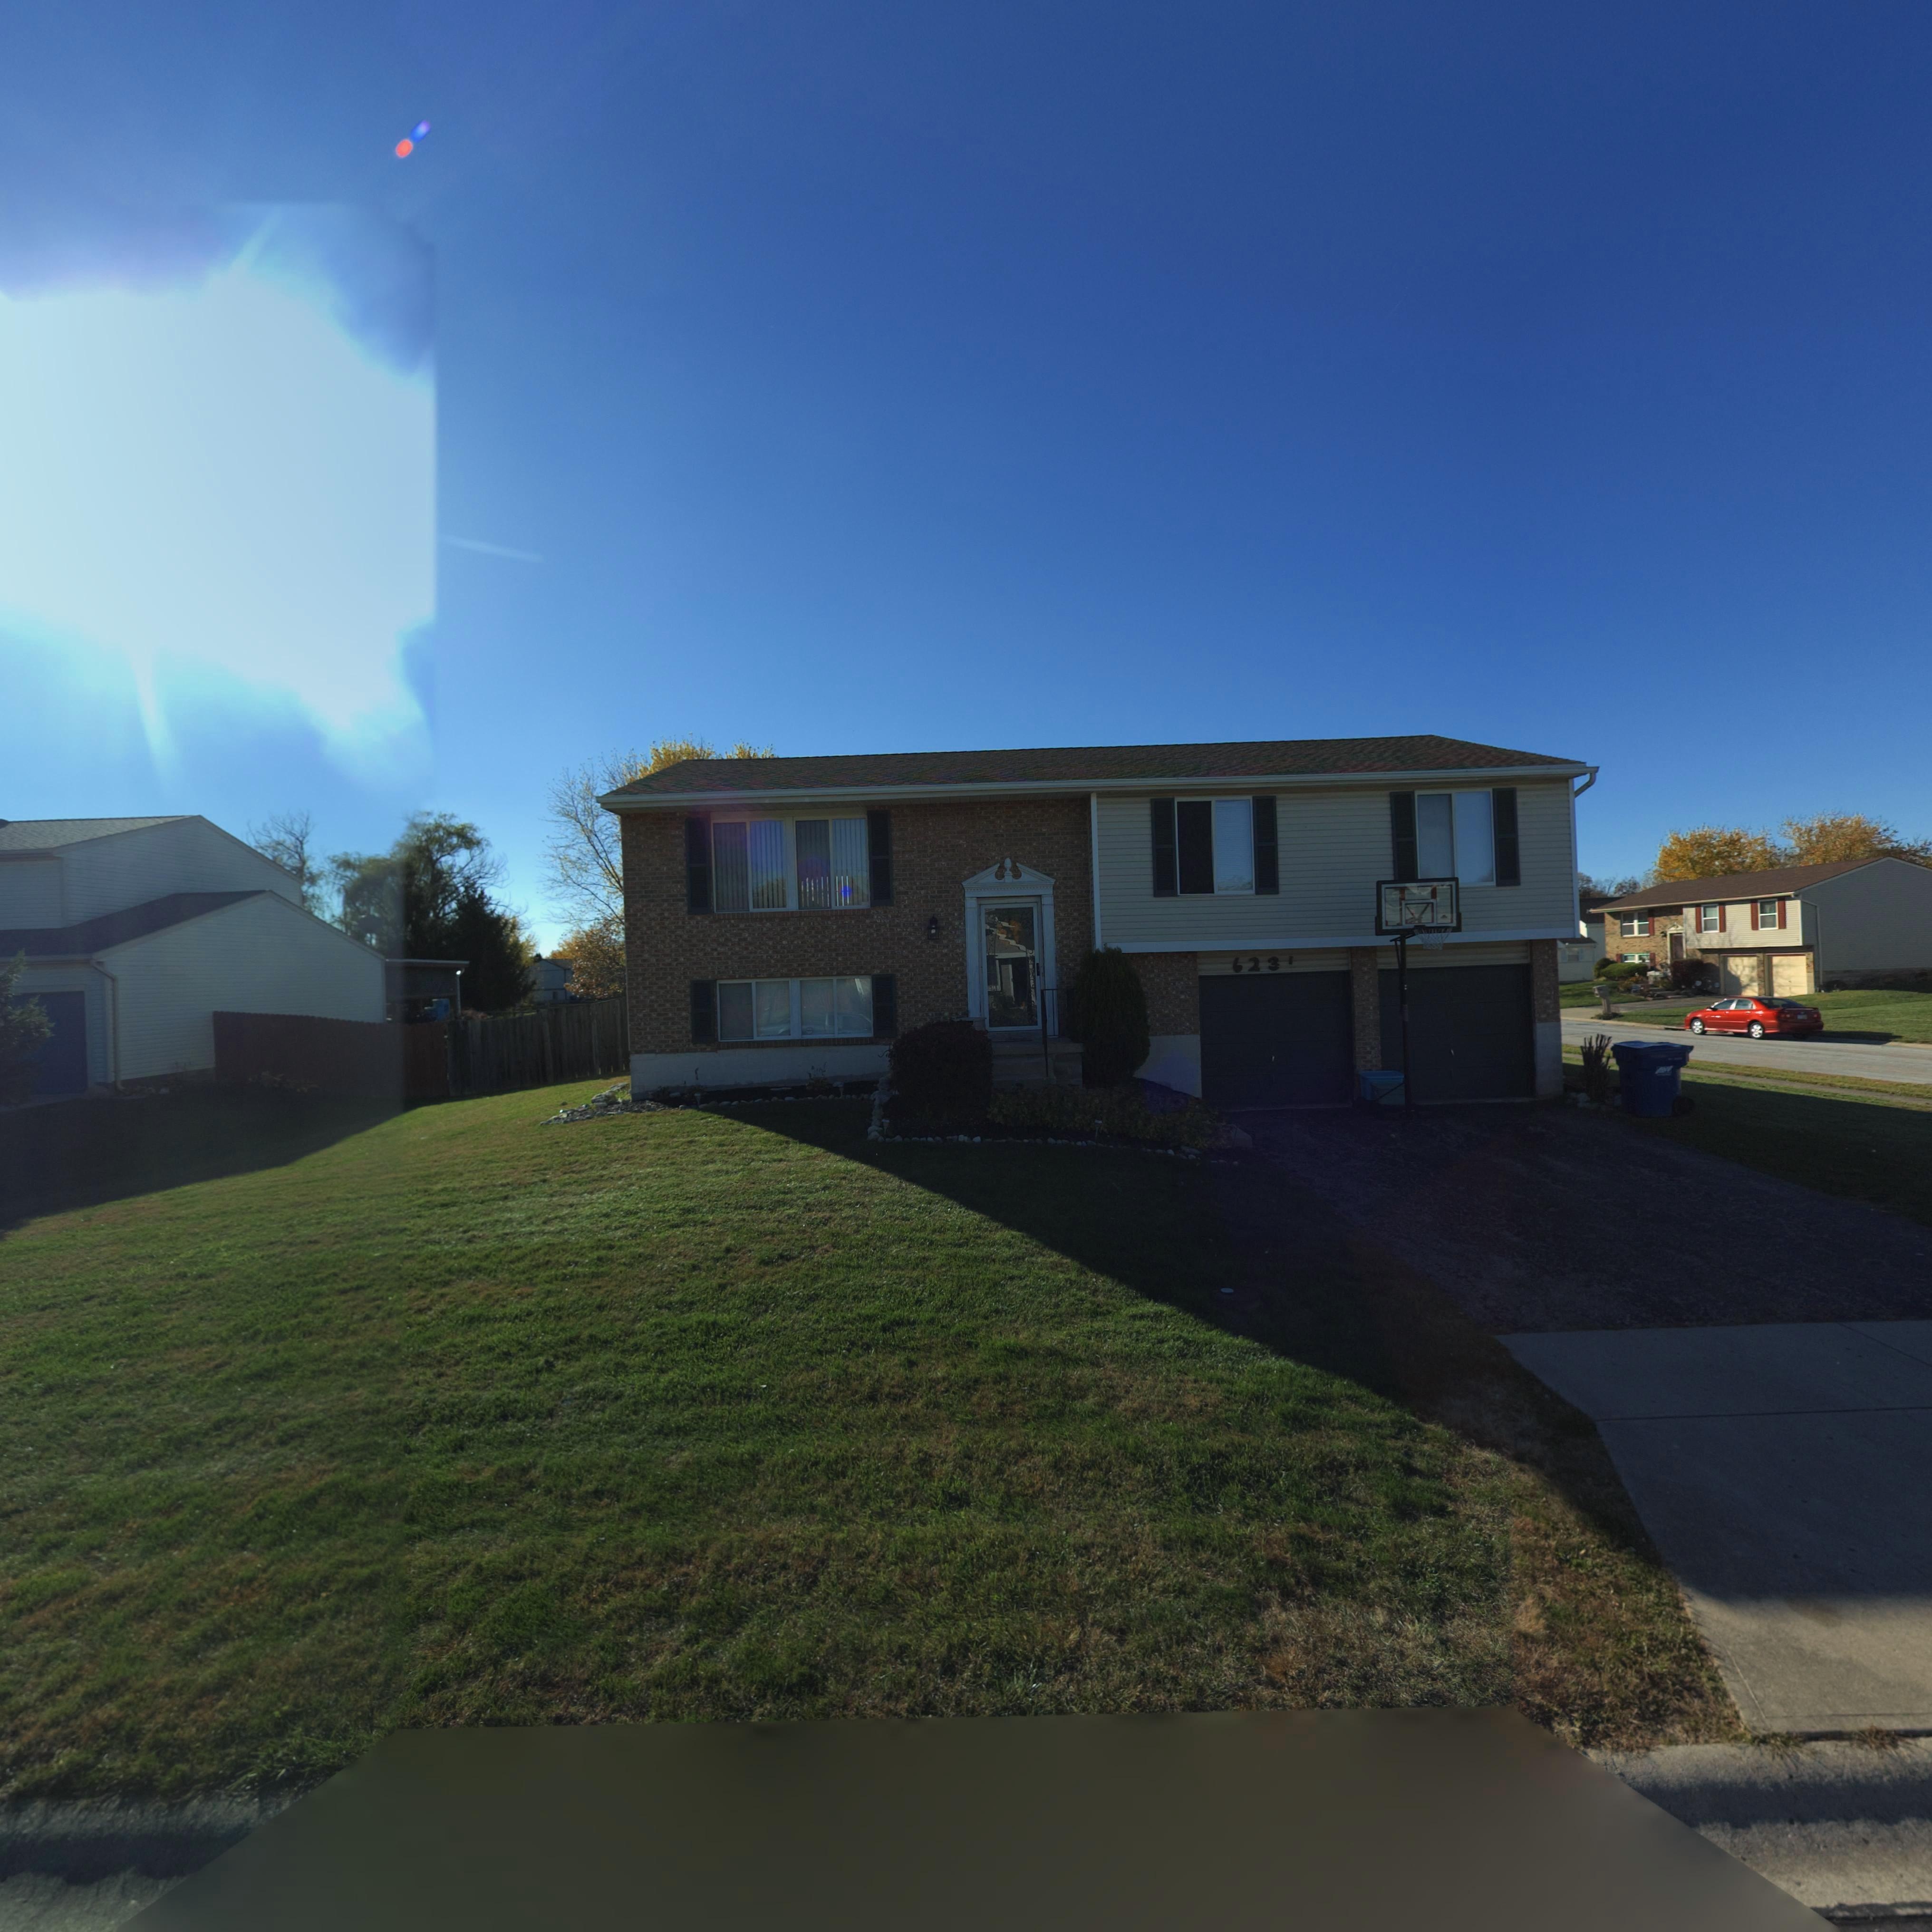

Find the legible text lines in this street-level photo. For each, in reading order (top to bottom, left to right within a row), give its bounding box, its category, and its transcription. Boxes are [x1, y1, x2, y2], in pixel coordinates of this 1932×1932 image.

[1231, 954, 1294, 975] StreetNumber: 623*